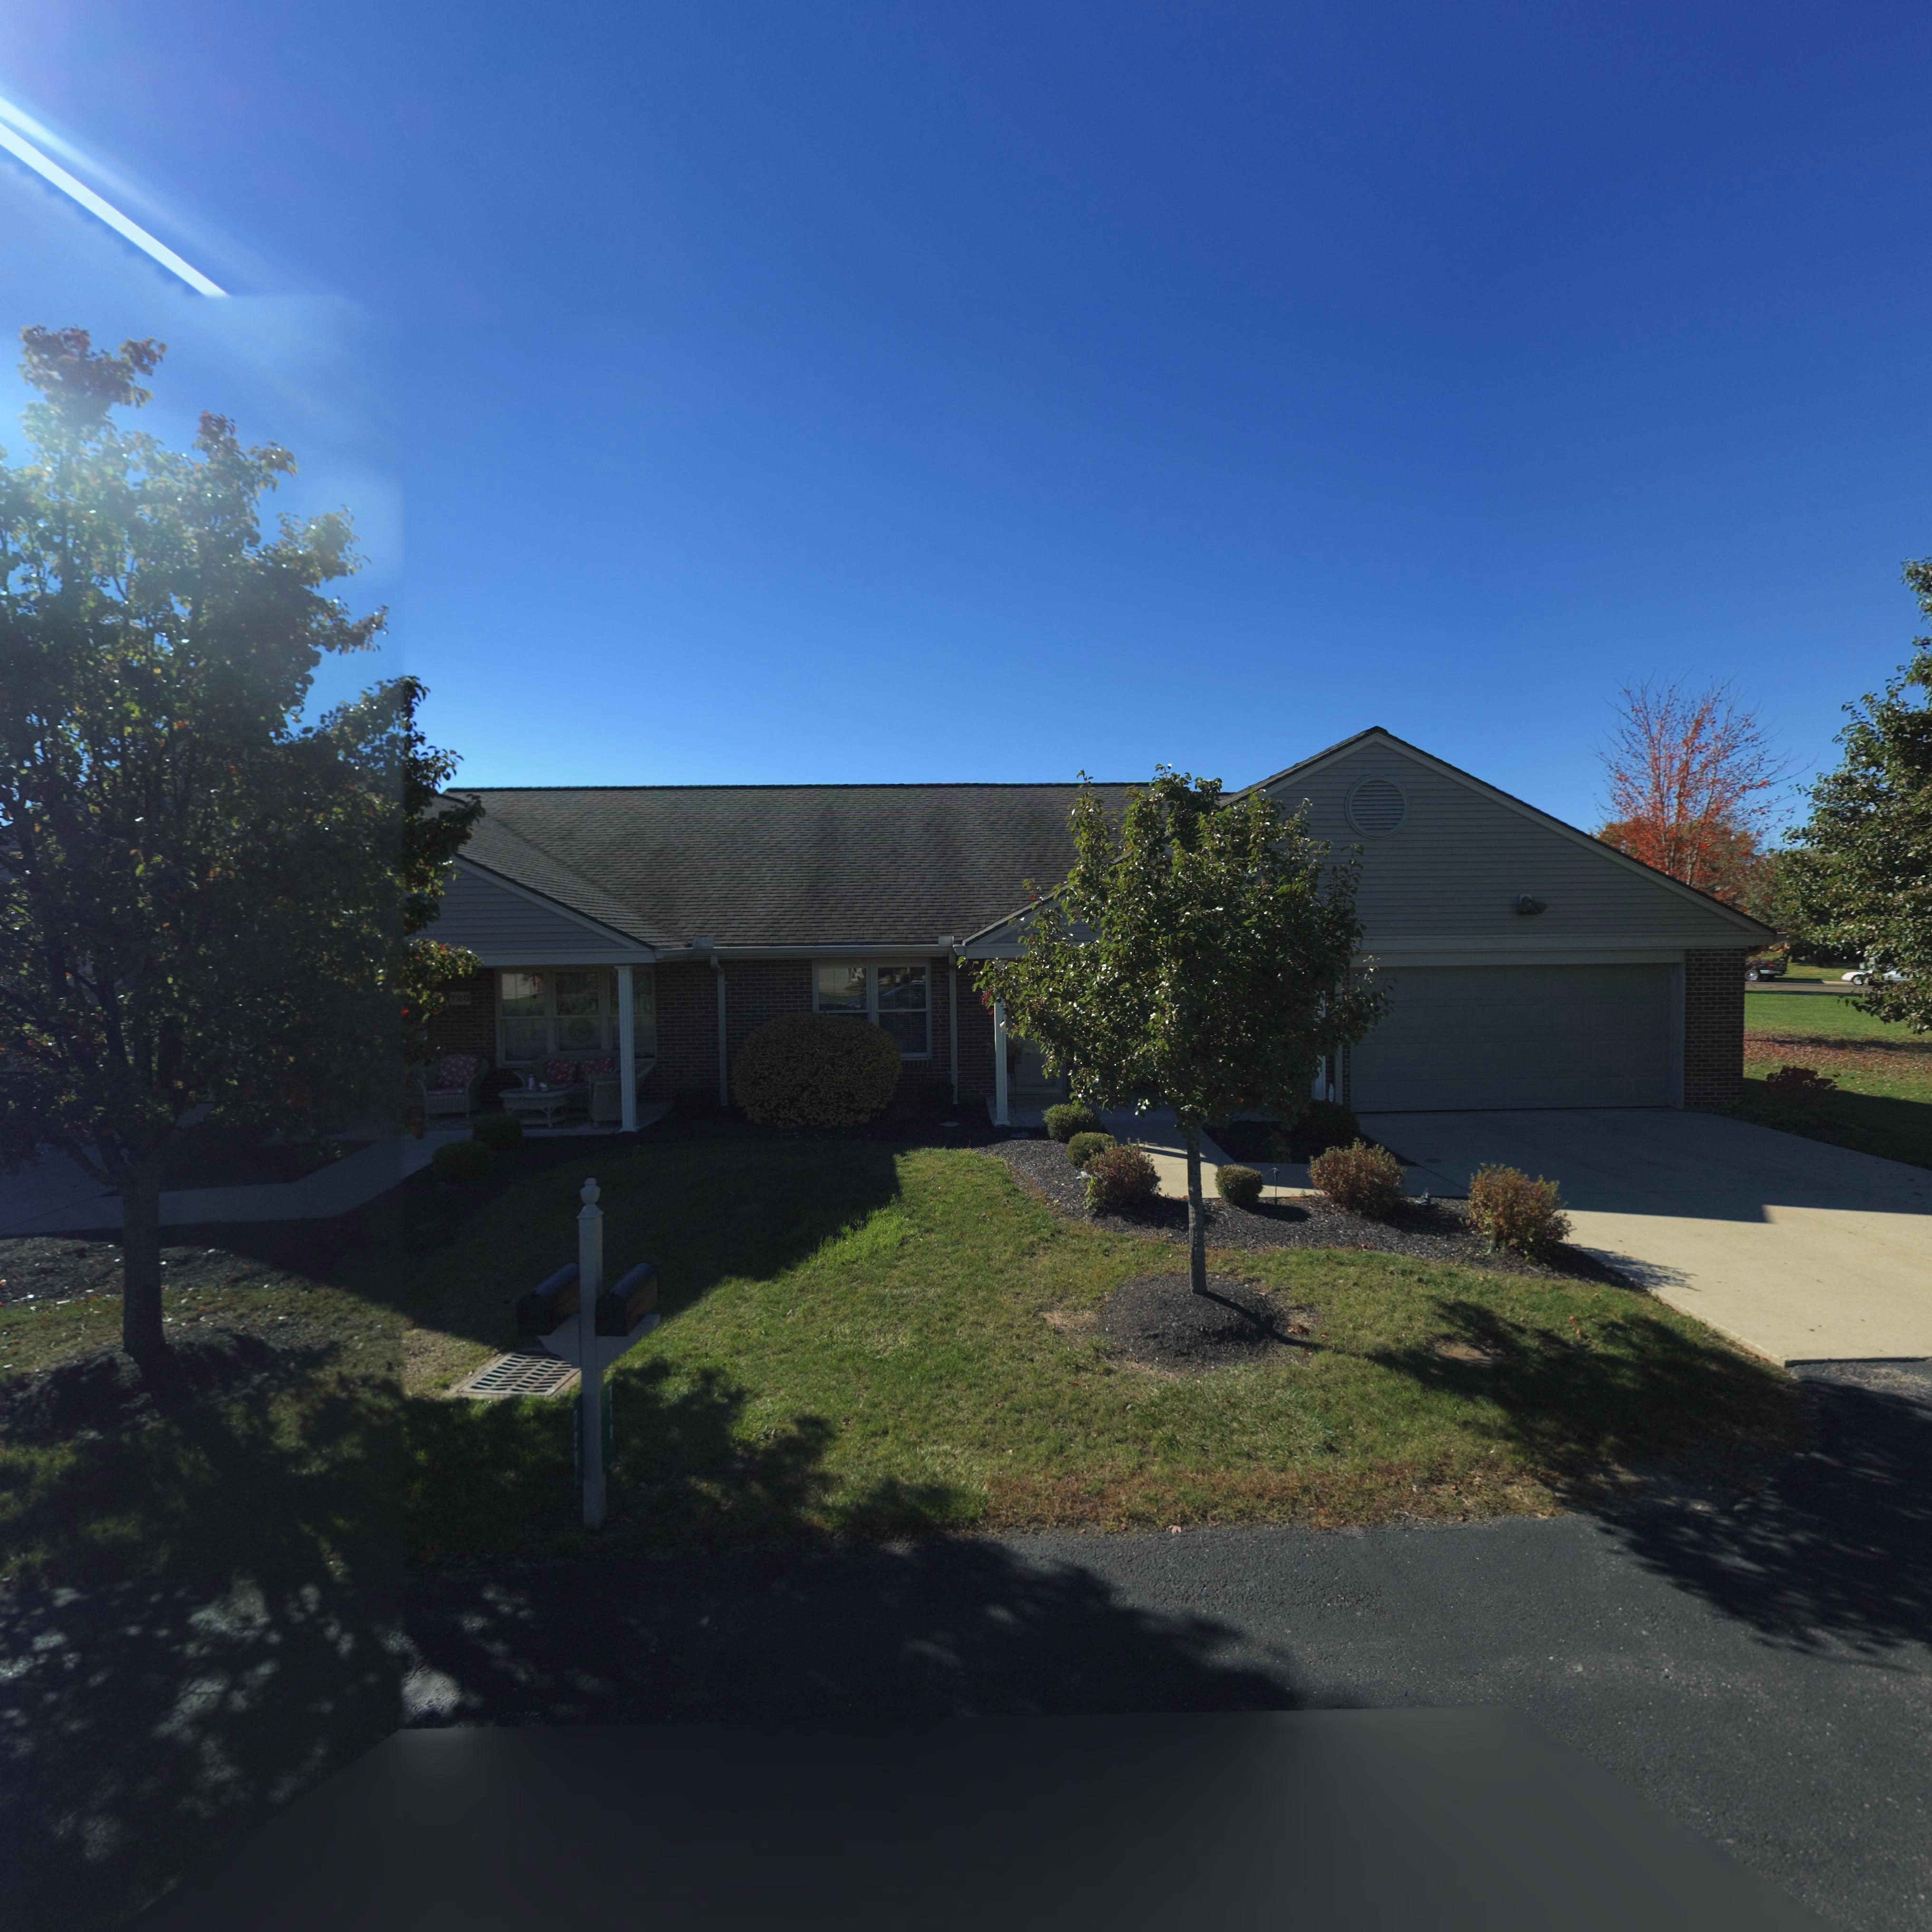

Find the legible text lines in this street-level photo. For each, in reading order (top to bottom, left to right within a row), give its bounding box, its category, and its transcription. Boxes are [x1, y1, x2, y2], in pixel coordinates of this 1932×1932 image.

[571, 1407, 580, 1468] StreetNumber: 720
[607, 1383, 614, 1440] StreetNumber: 718